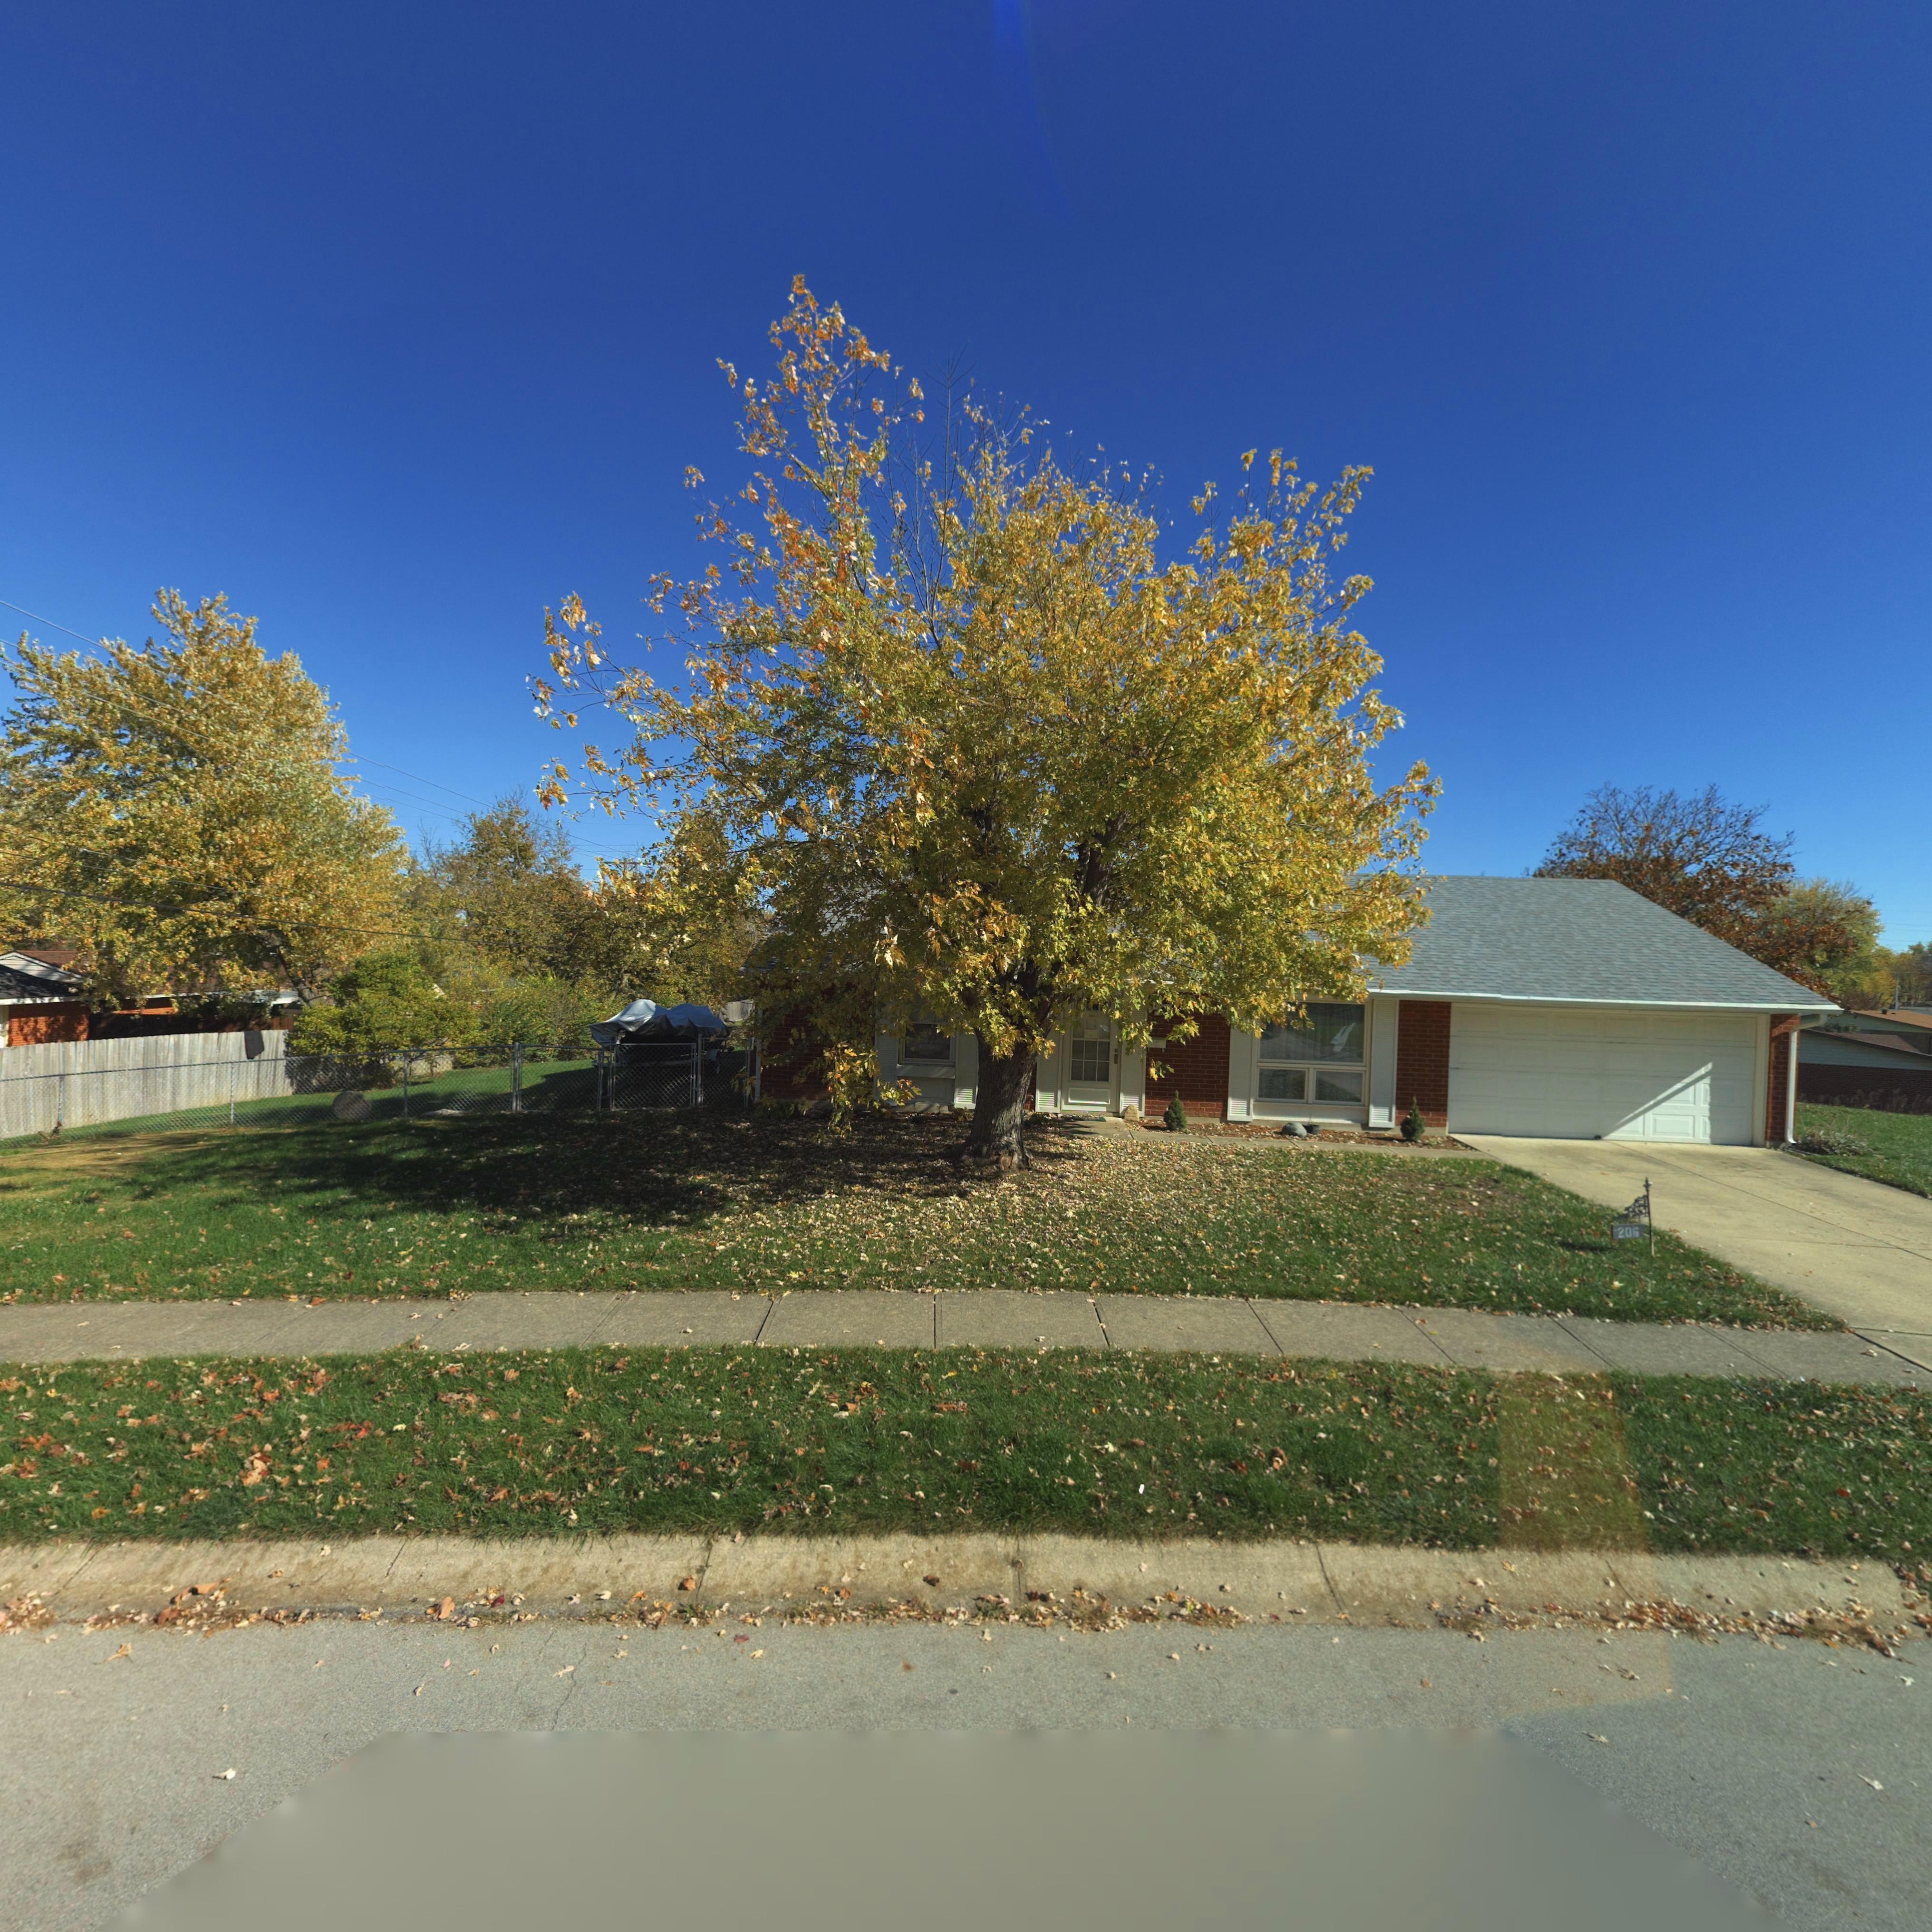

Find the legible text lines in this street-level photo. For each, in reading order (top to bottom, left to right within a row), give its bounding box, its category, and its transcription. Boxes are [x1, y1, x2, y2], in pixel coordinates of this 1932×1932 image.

[1616, 1225, 1640, 1240] StreetNumber: 206